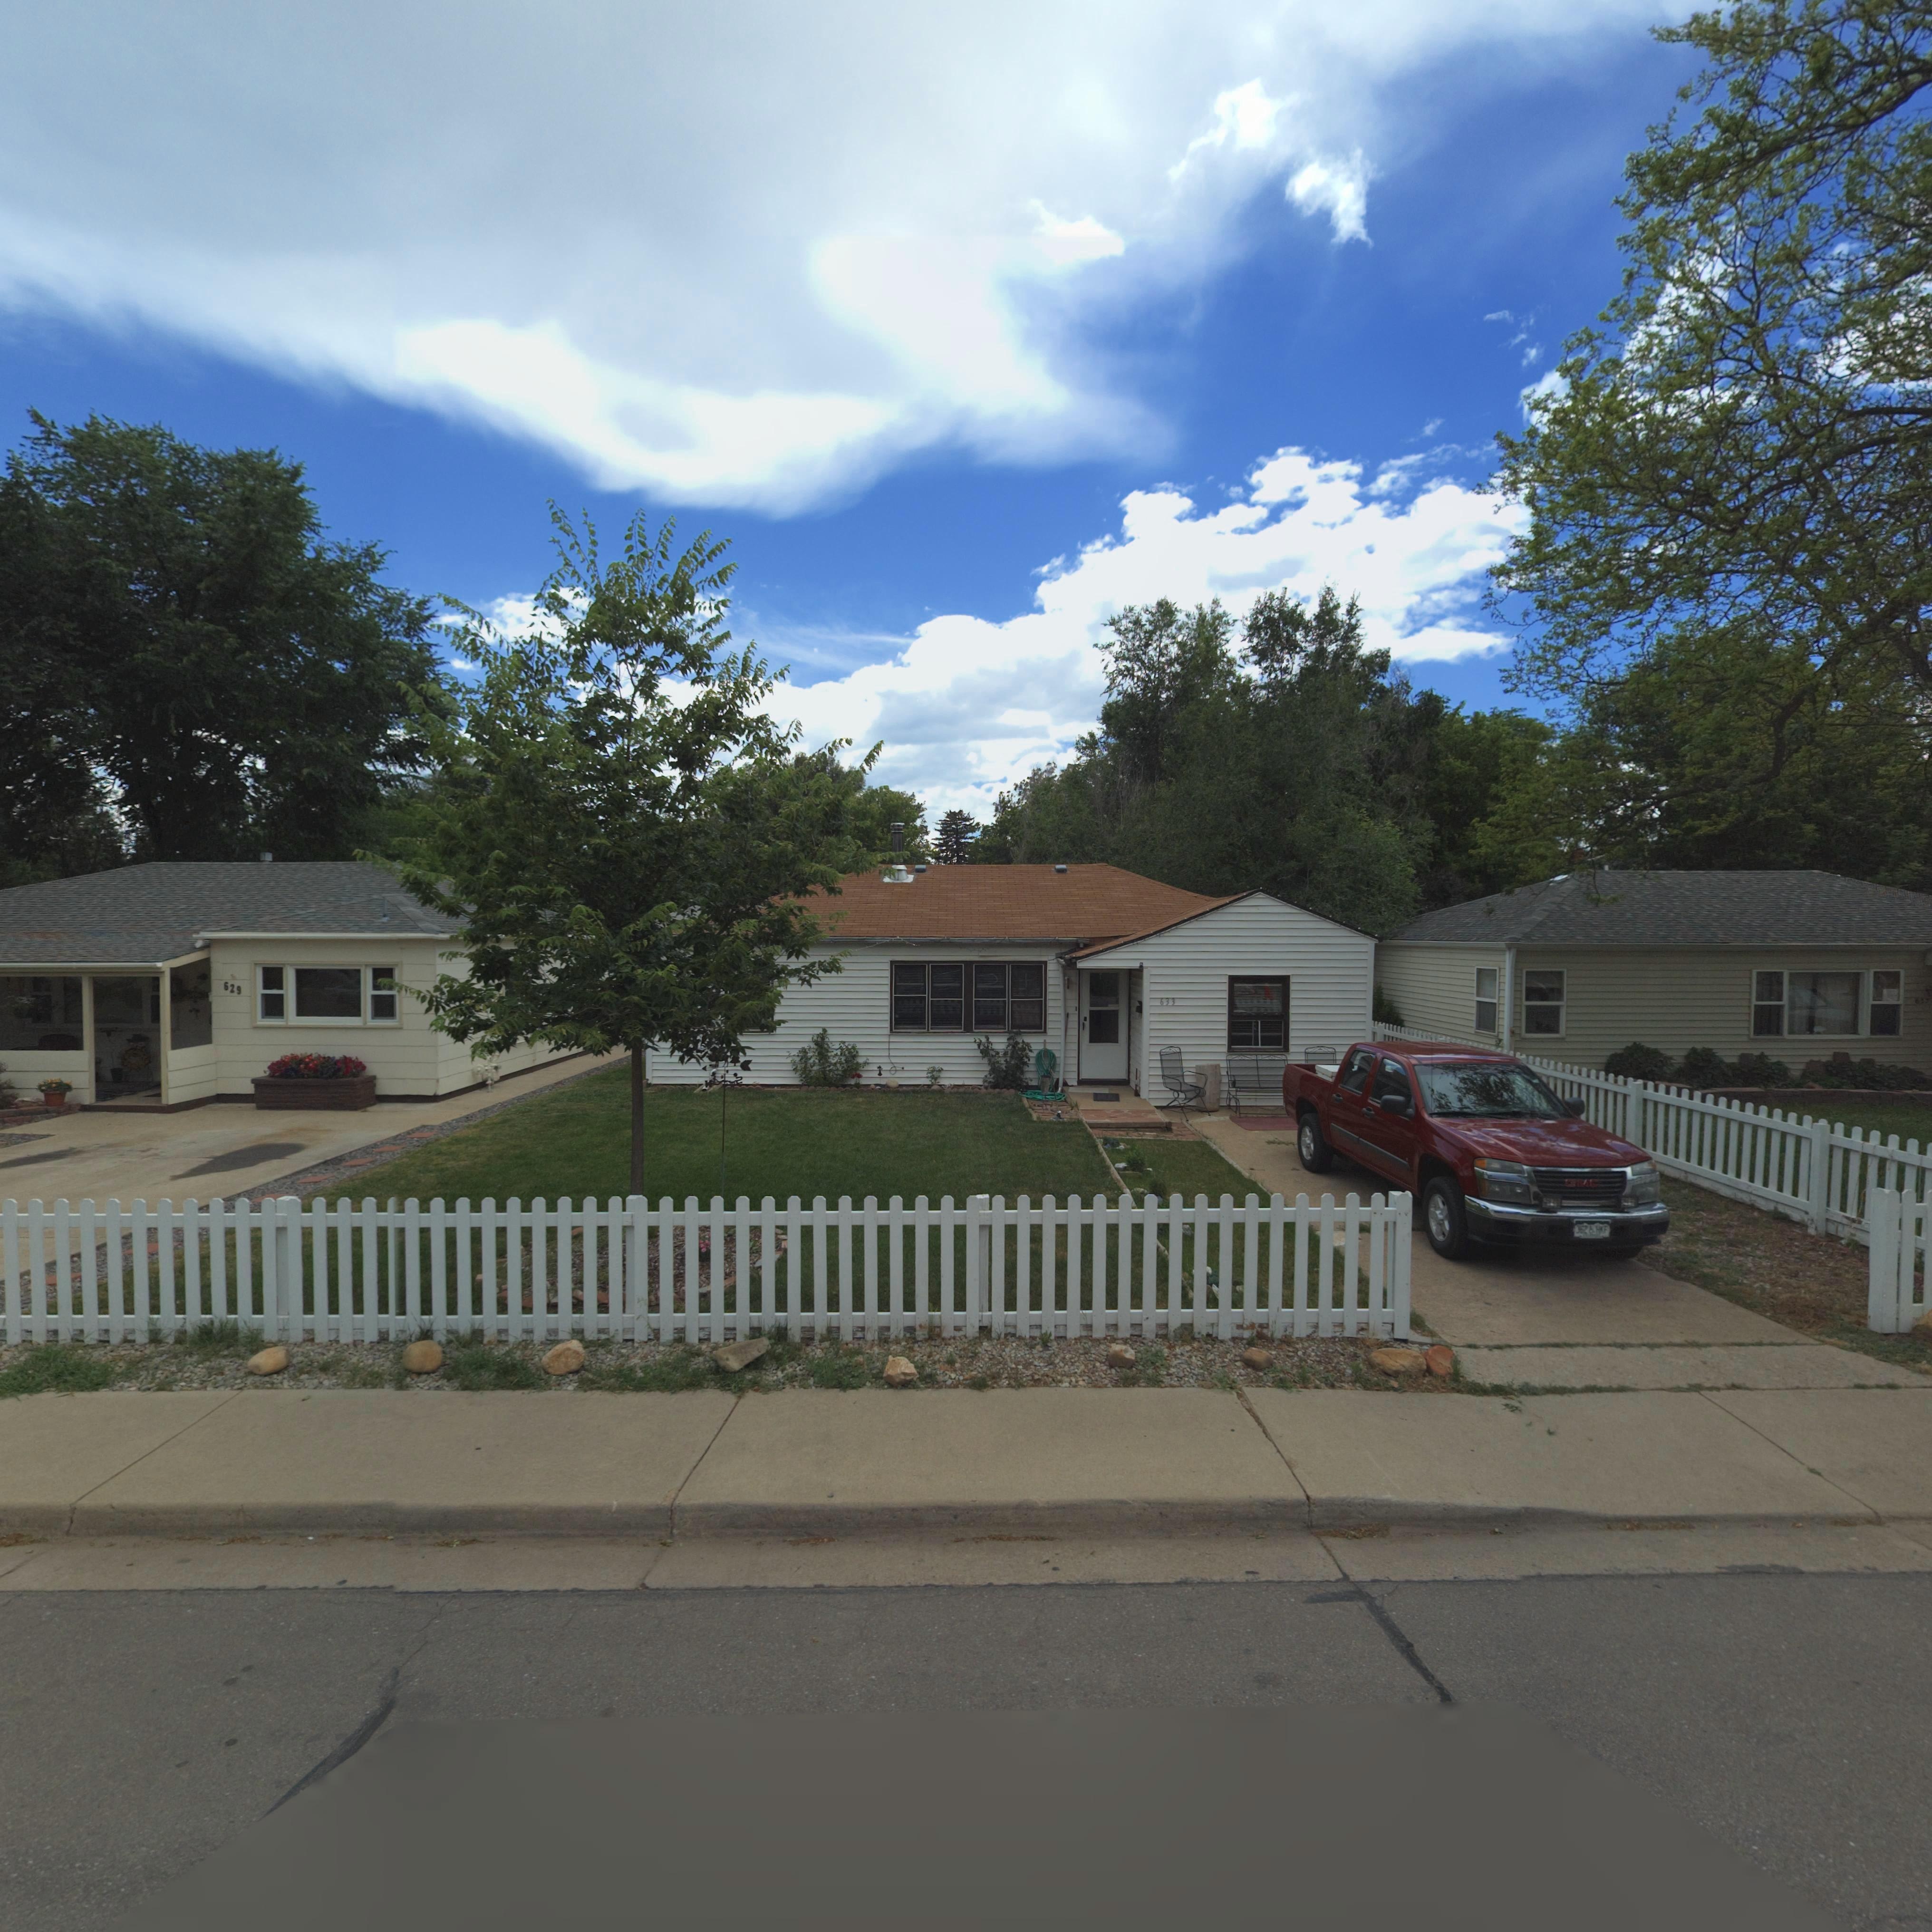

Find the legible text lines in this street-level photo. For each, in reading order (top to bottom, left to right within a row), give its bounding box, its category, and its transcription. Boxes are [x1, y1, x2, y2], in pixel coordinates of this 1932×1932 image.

[223, 982, 241, 995] StreetNumber: 629
[1159, 998, 1175, 1005] StreetNumber: 633
[1914, 996, 1925, 1005] StreetNumber: 63